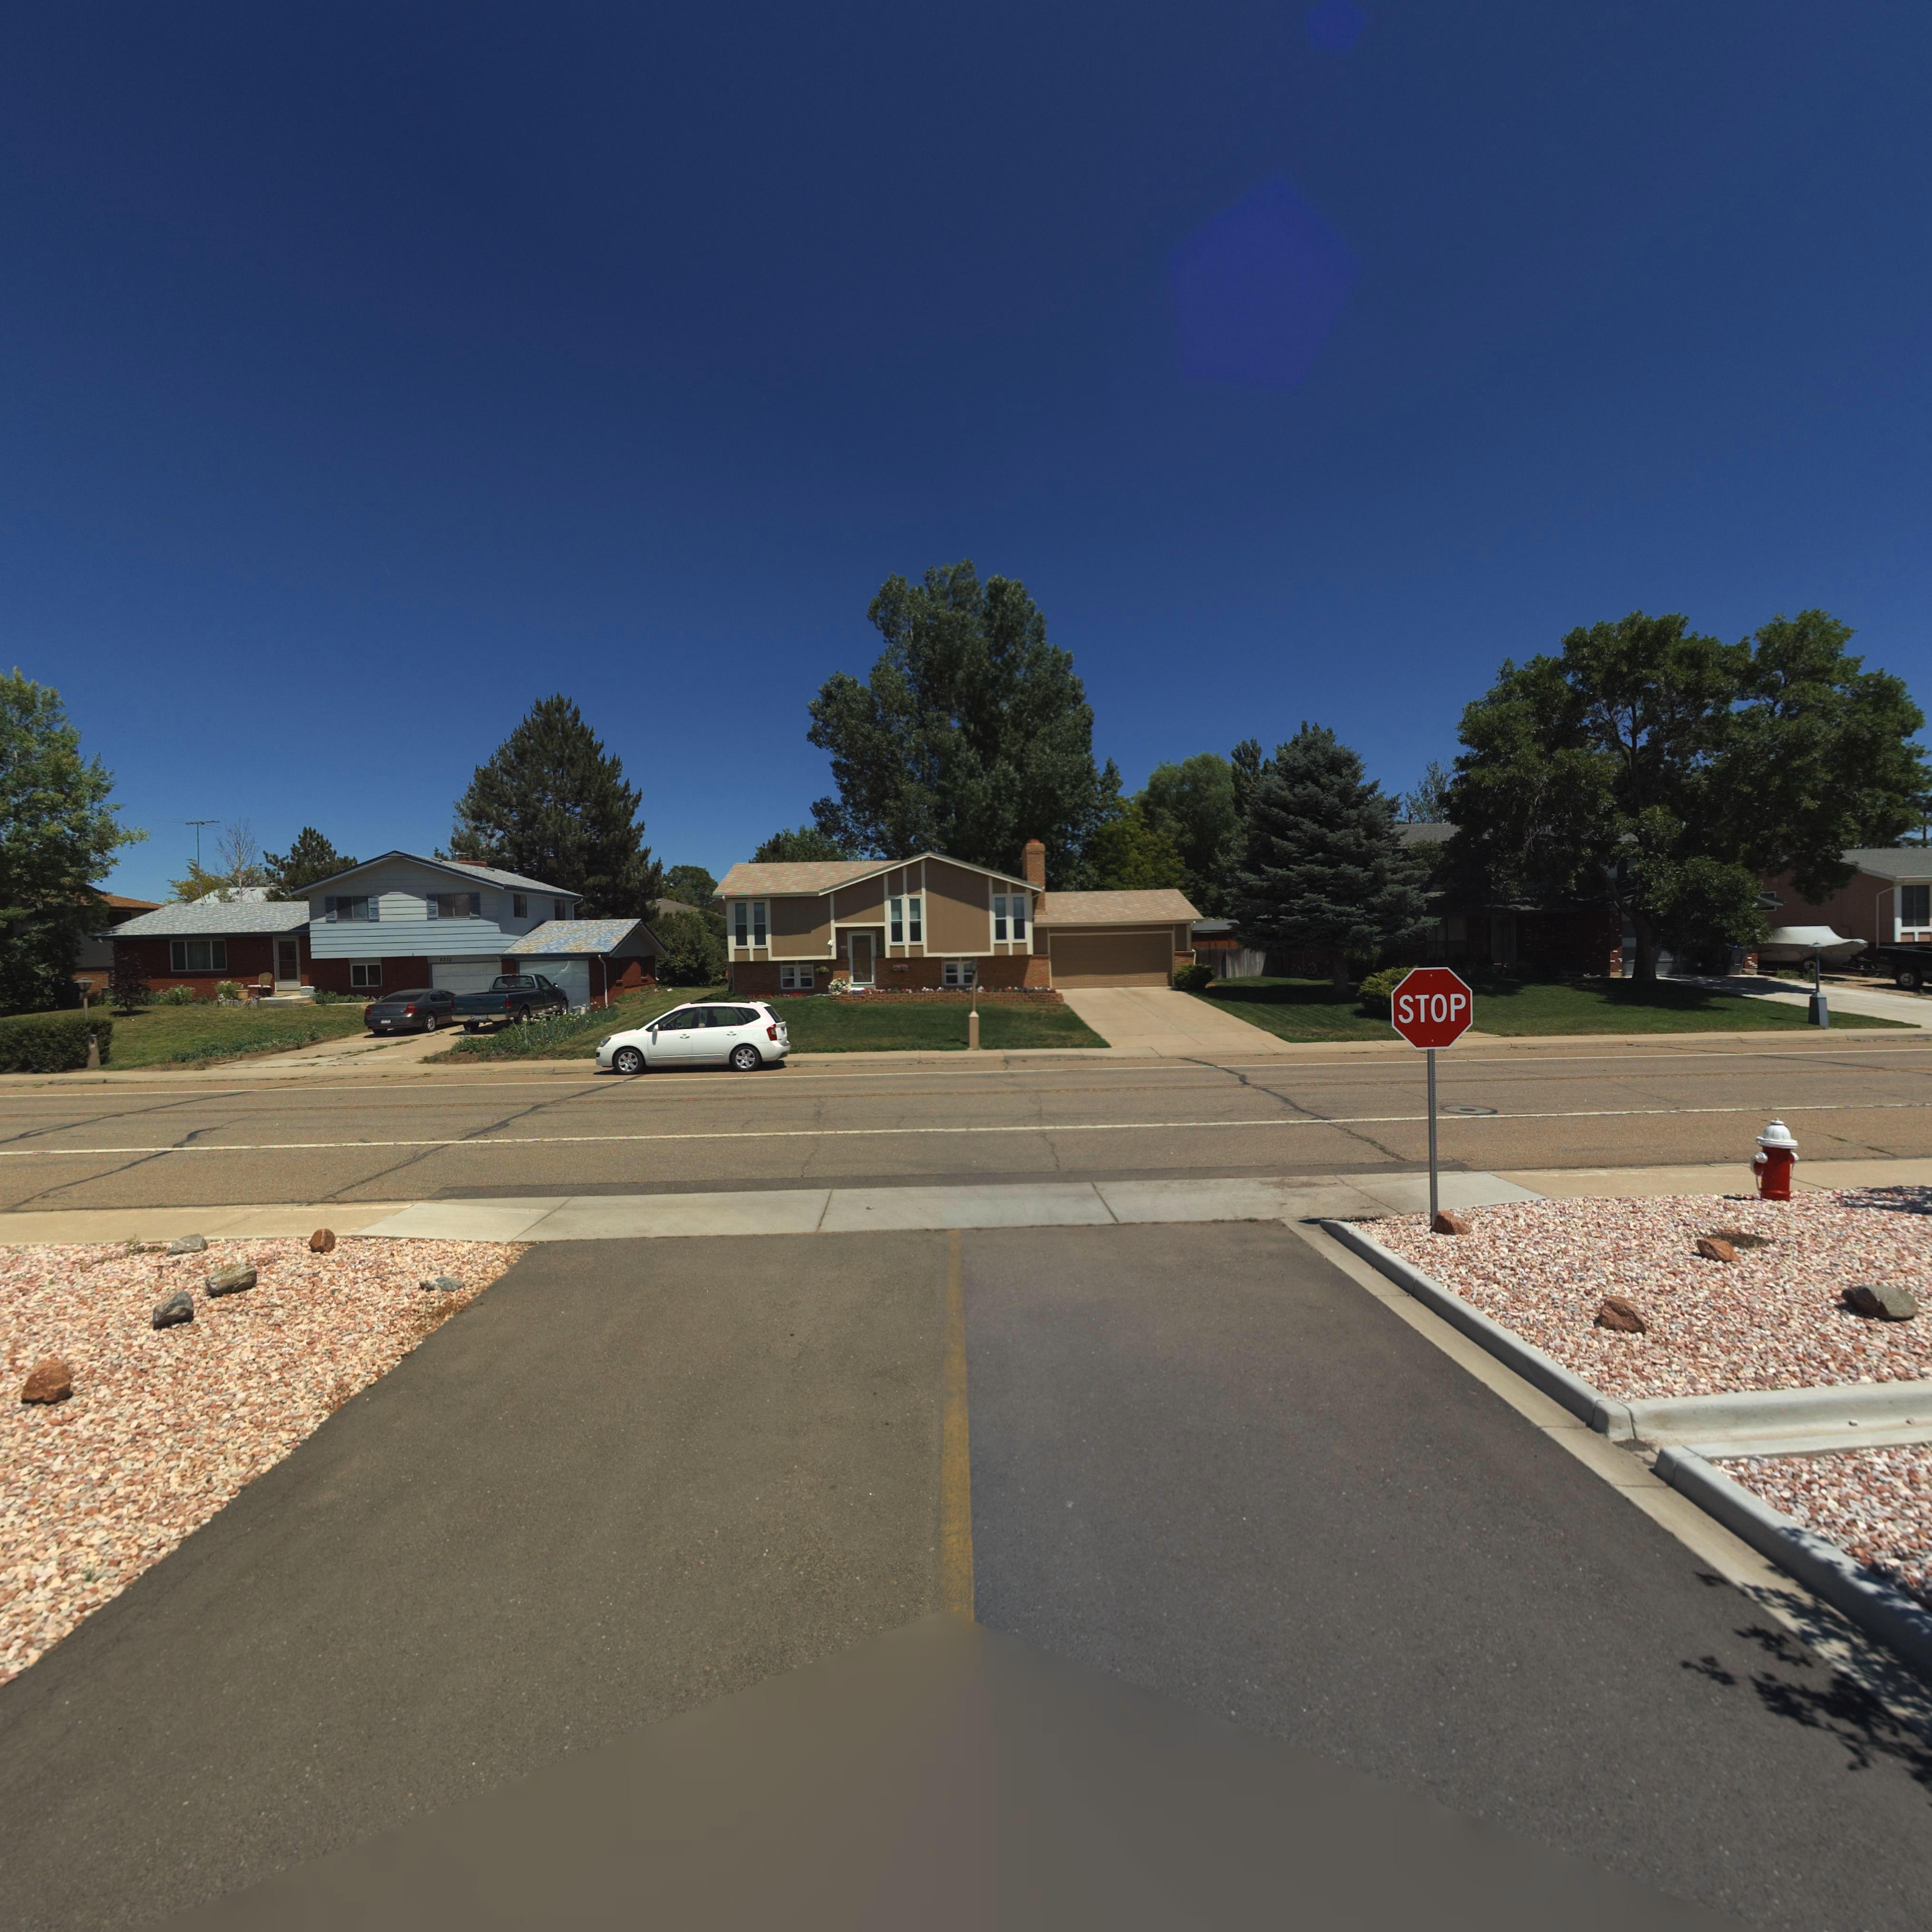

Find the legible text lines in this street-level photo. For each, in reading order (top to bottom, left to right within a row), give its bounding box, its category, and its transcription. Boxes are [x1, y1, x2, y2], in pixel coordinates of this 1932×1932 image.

[439, 957, 451, 962] StreetNumber: **10